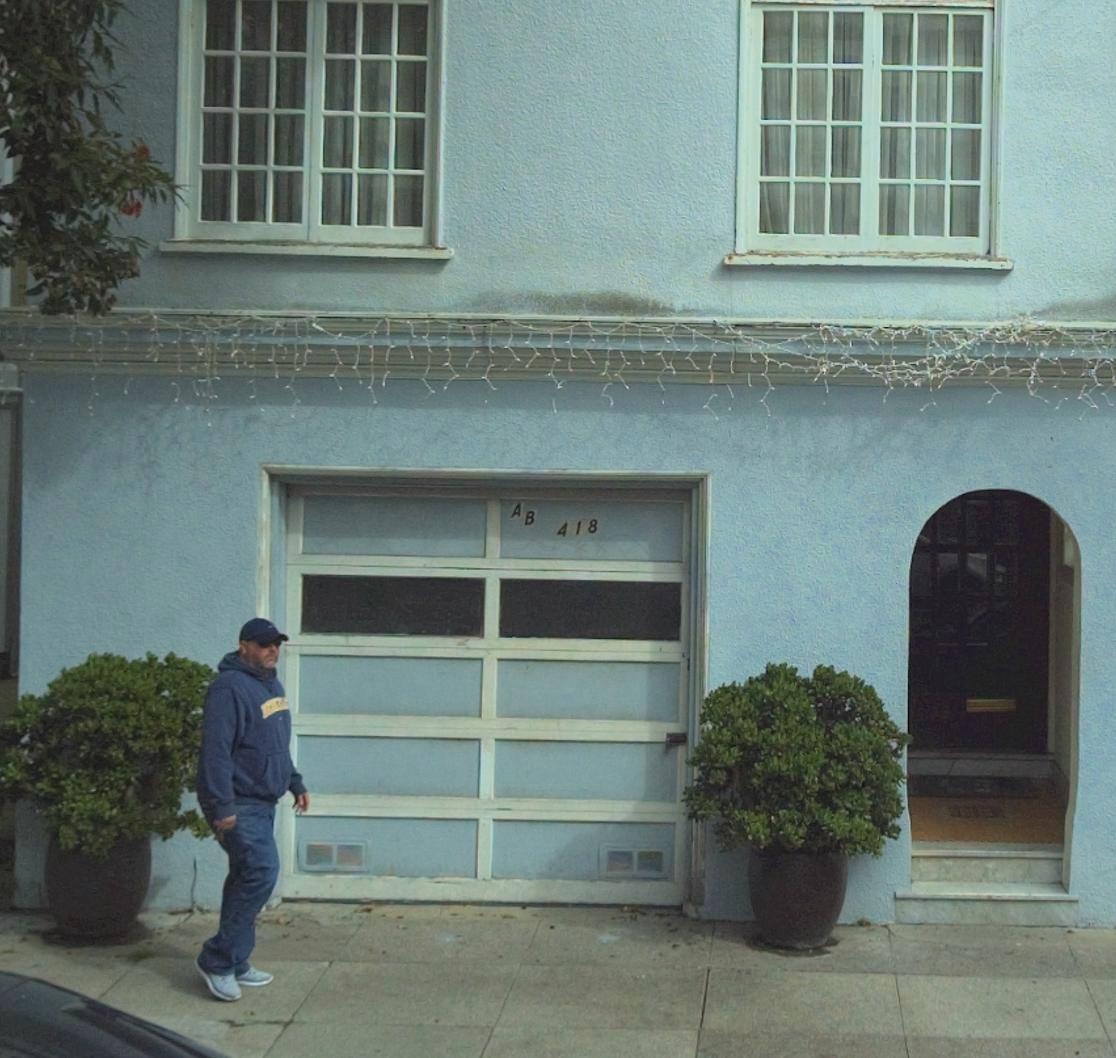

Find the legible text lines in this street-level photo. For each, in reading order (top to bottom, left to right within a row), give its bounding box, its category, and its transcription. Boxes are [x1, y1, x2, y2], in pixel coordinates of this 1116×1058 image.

[507, 500, 536, 528] SecondaryUnitDesignator: AB
[556, 517, 600, 539] StreetNumber: 418